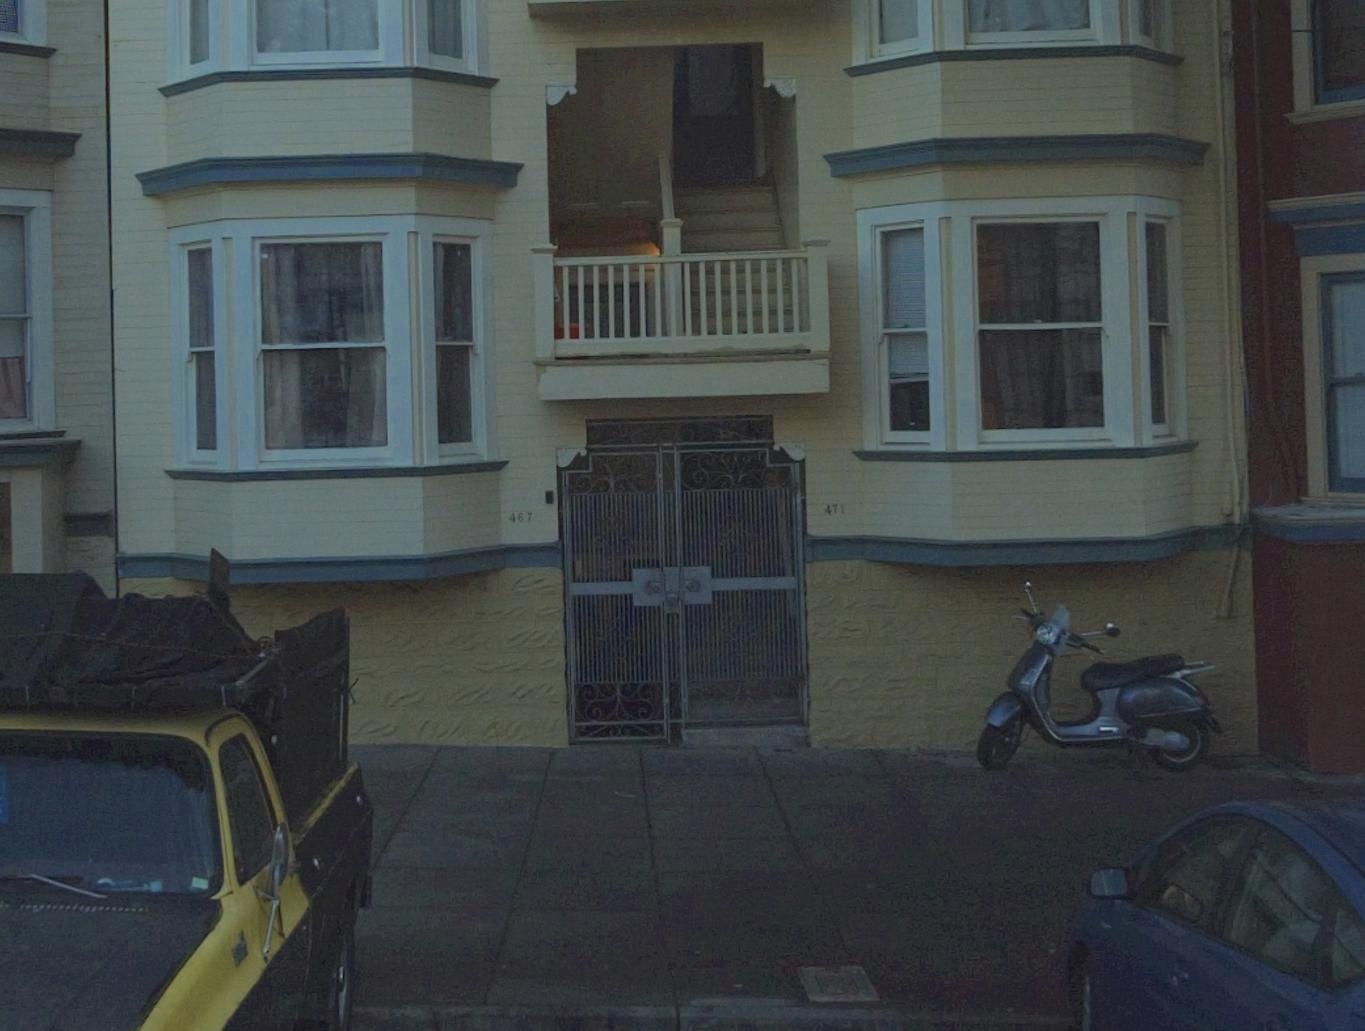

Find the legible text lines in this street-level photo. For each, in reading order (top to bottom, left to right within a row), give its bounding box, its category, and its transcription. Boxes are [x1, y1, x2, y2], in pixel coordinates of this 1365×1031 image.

[823, 503, 846, 516] StreetNumber: 471
[507, 511, 534, 524] StreetNumber: 467